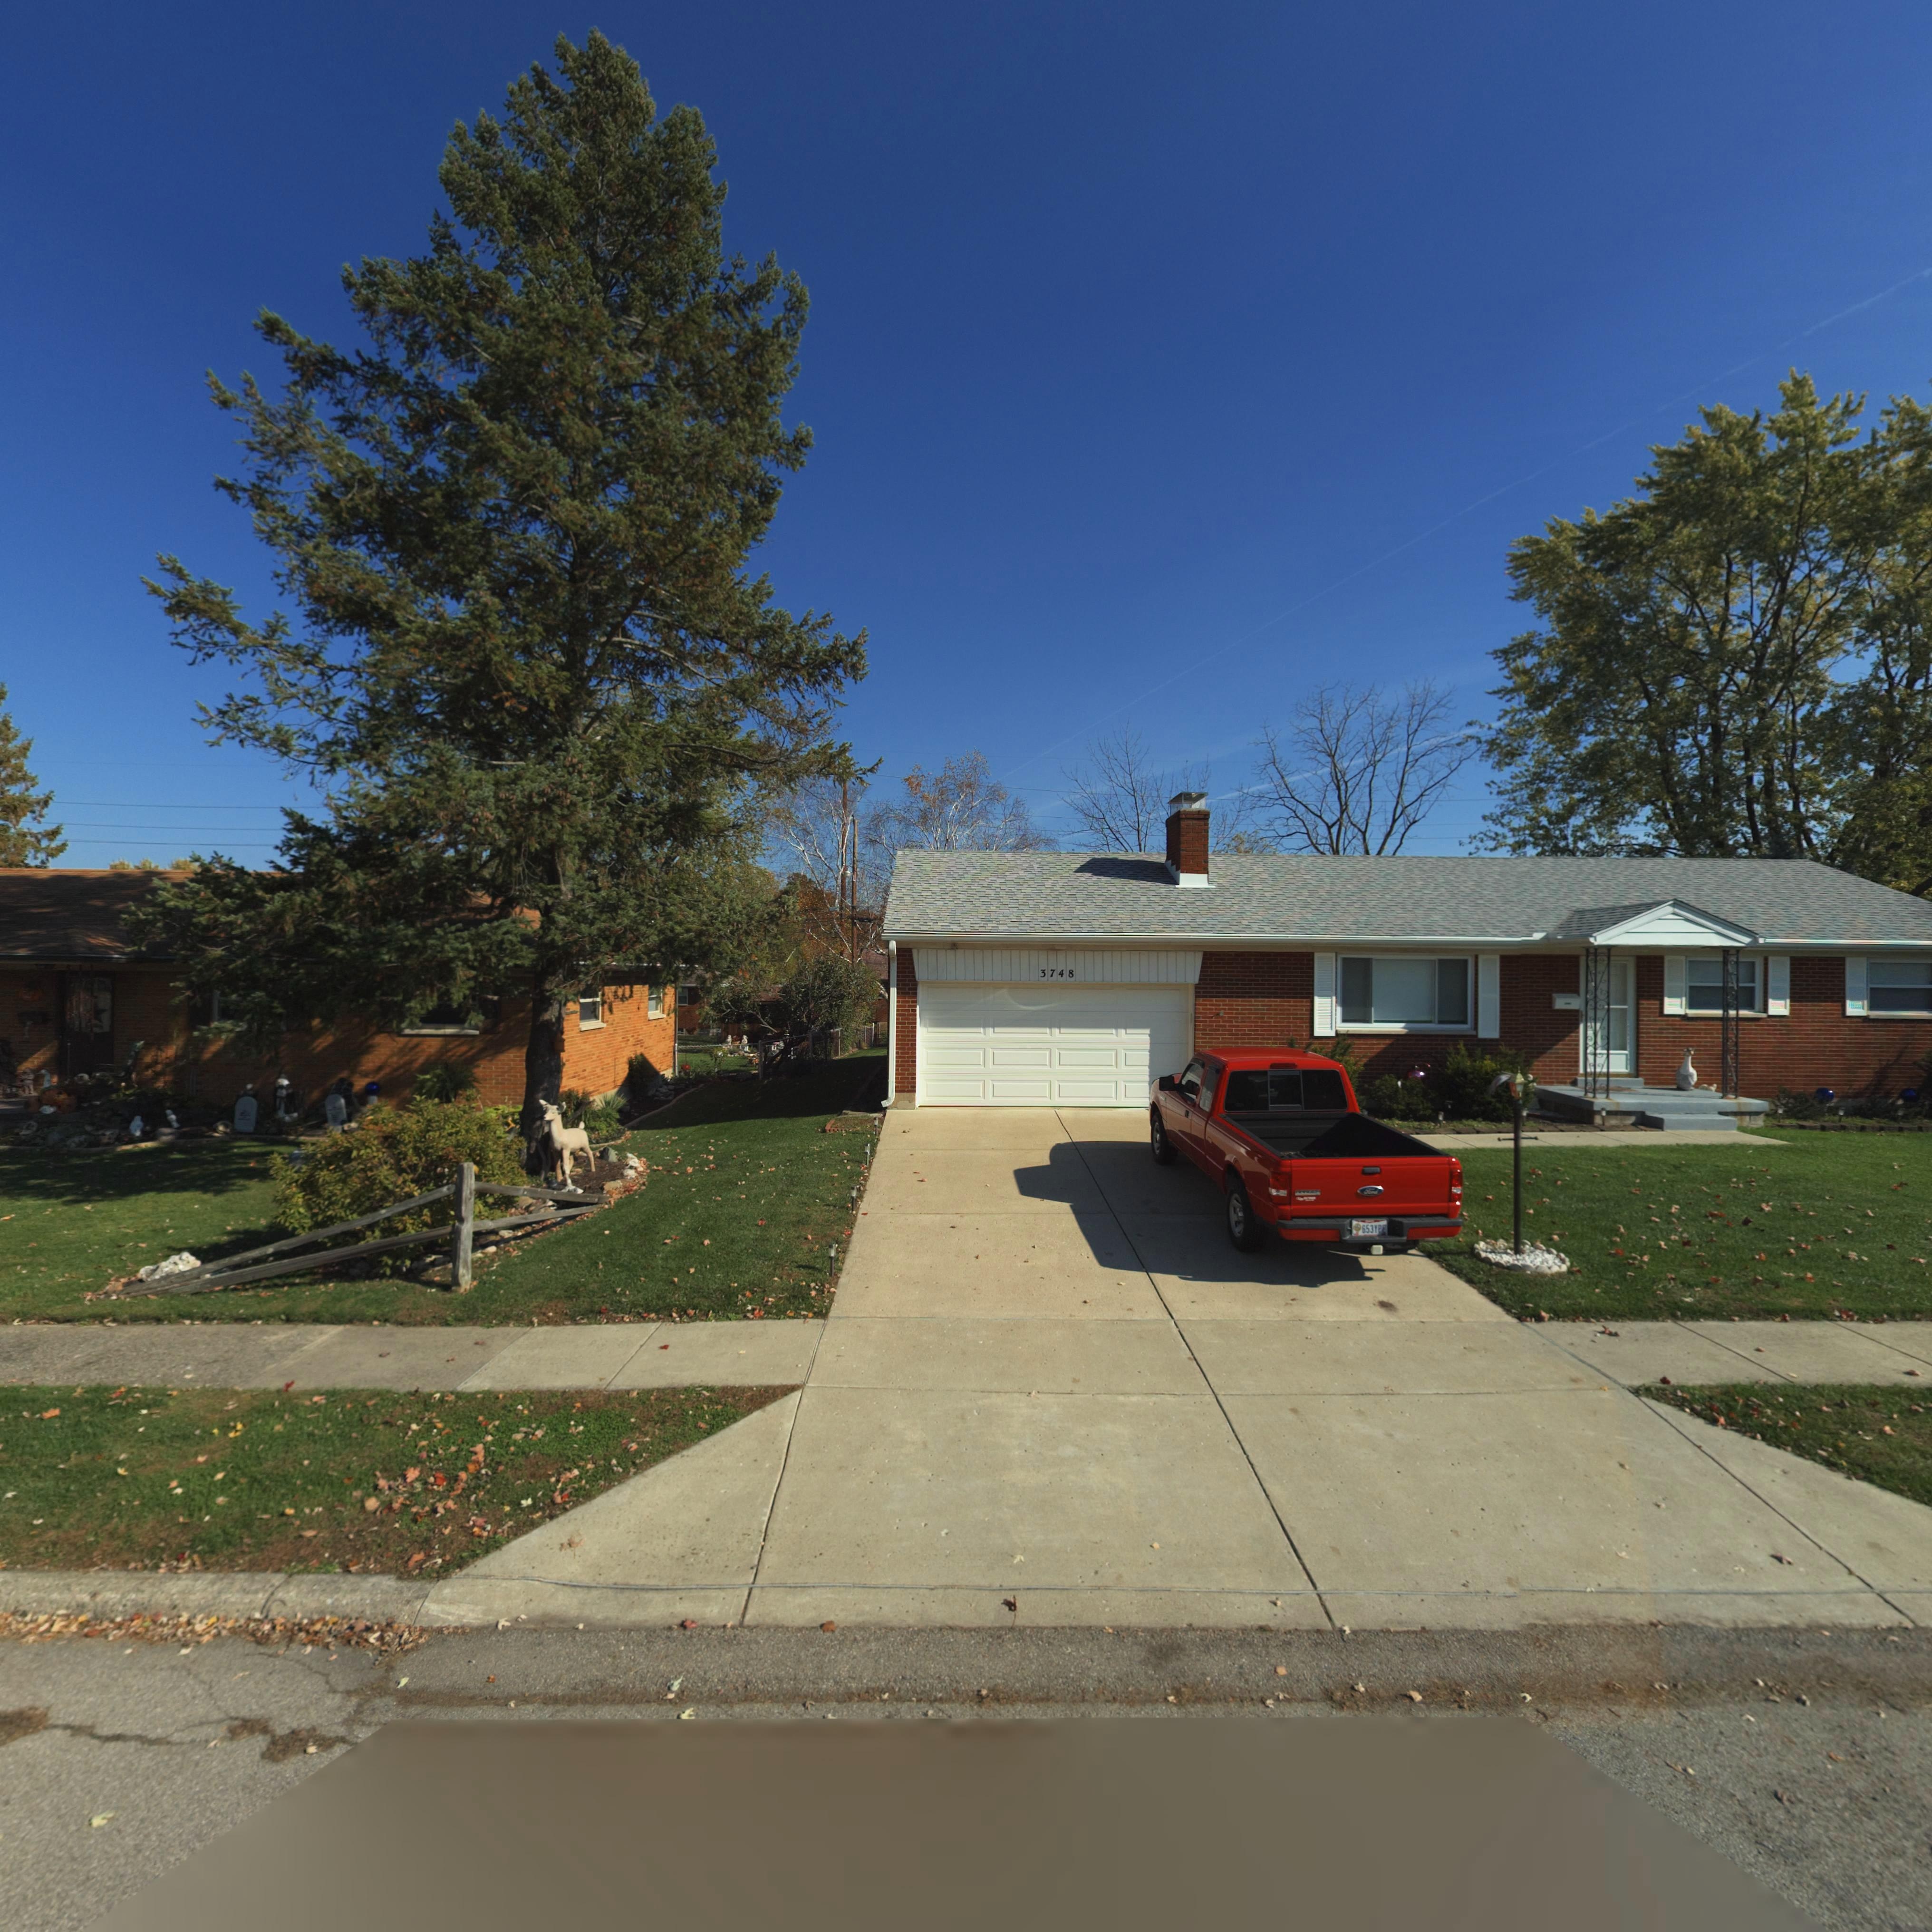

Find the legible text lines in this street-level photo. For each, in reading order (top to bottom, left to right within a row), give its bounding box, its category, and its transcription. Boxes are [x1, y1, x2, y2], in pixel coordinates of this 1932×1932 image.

[1039, 968, 1074, 978] StreetNumber: 3748
[1361, 1224, 1385, 1233] None: 653YPE